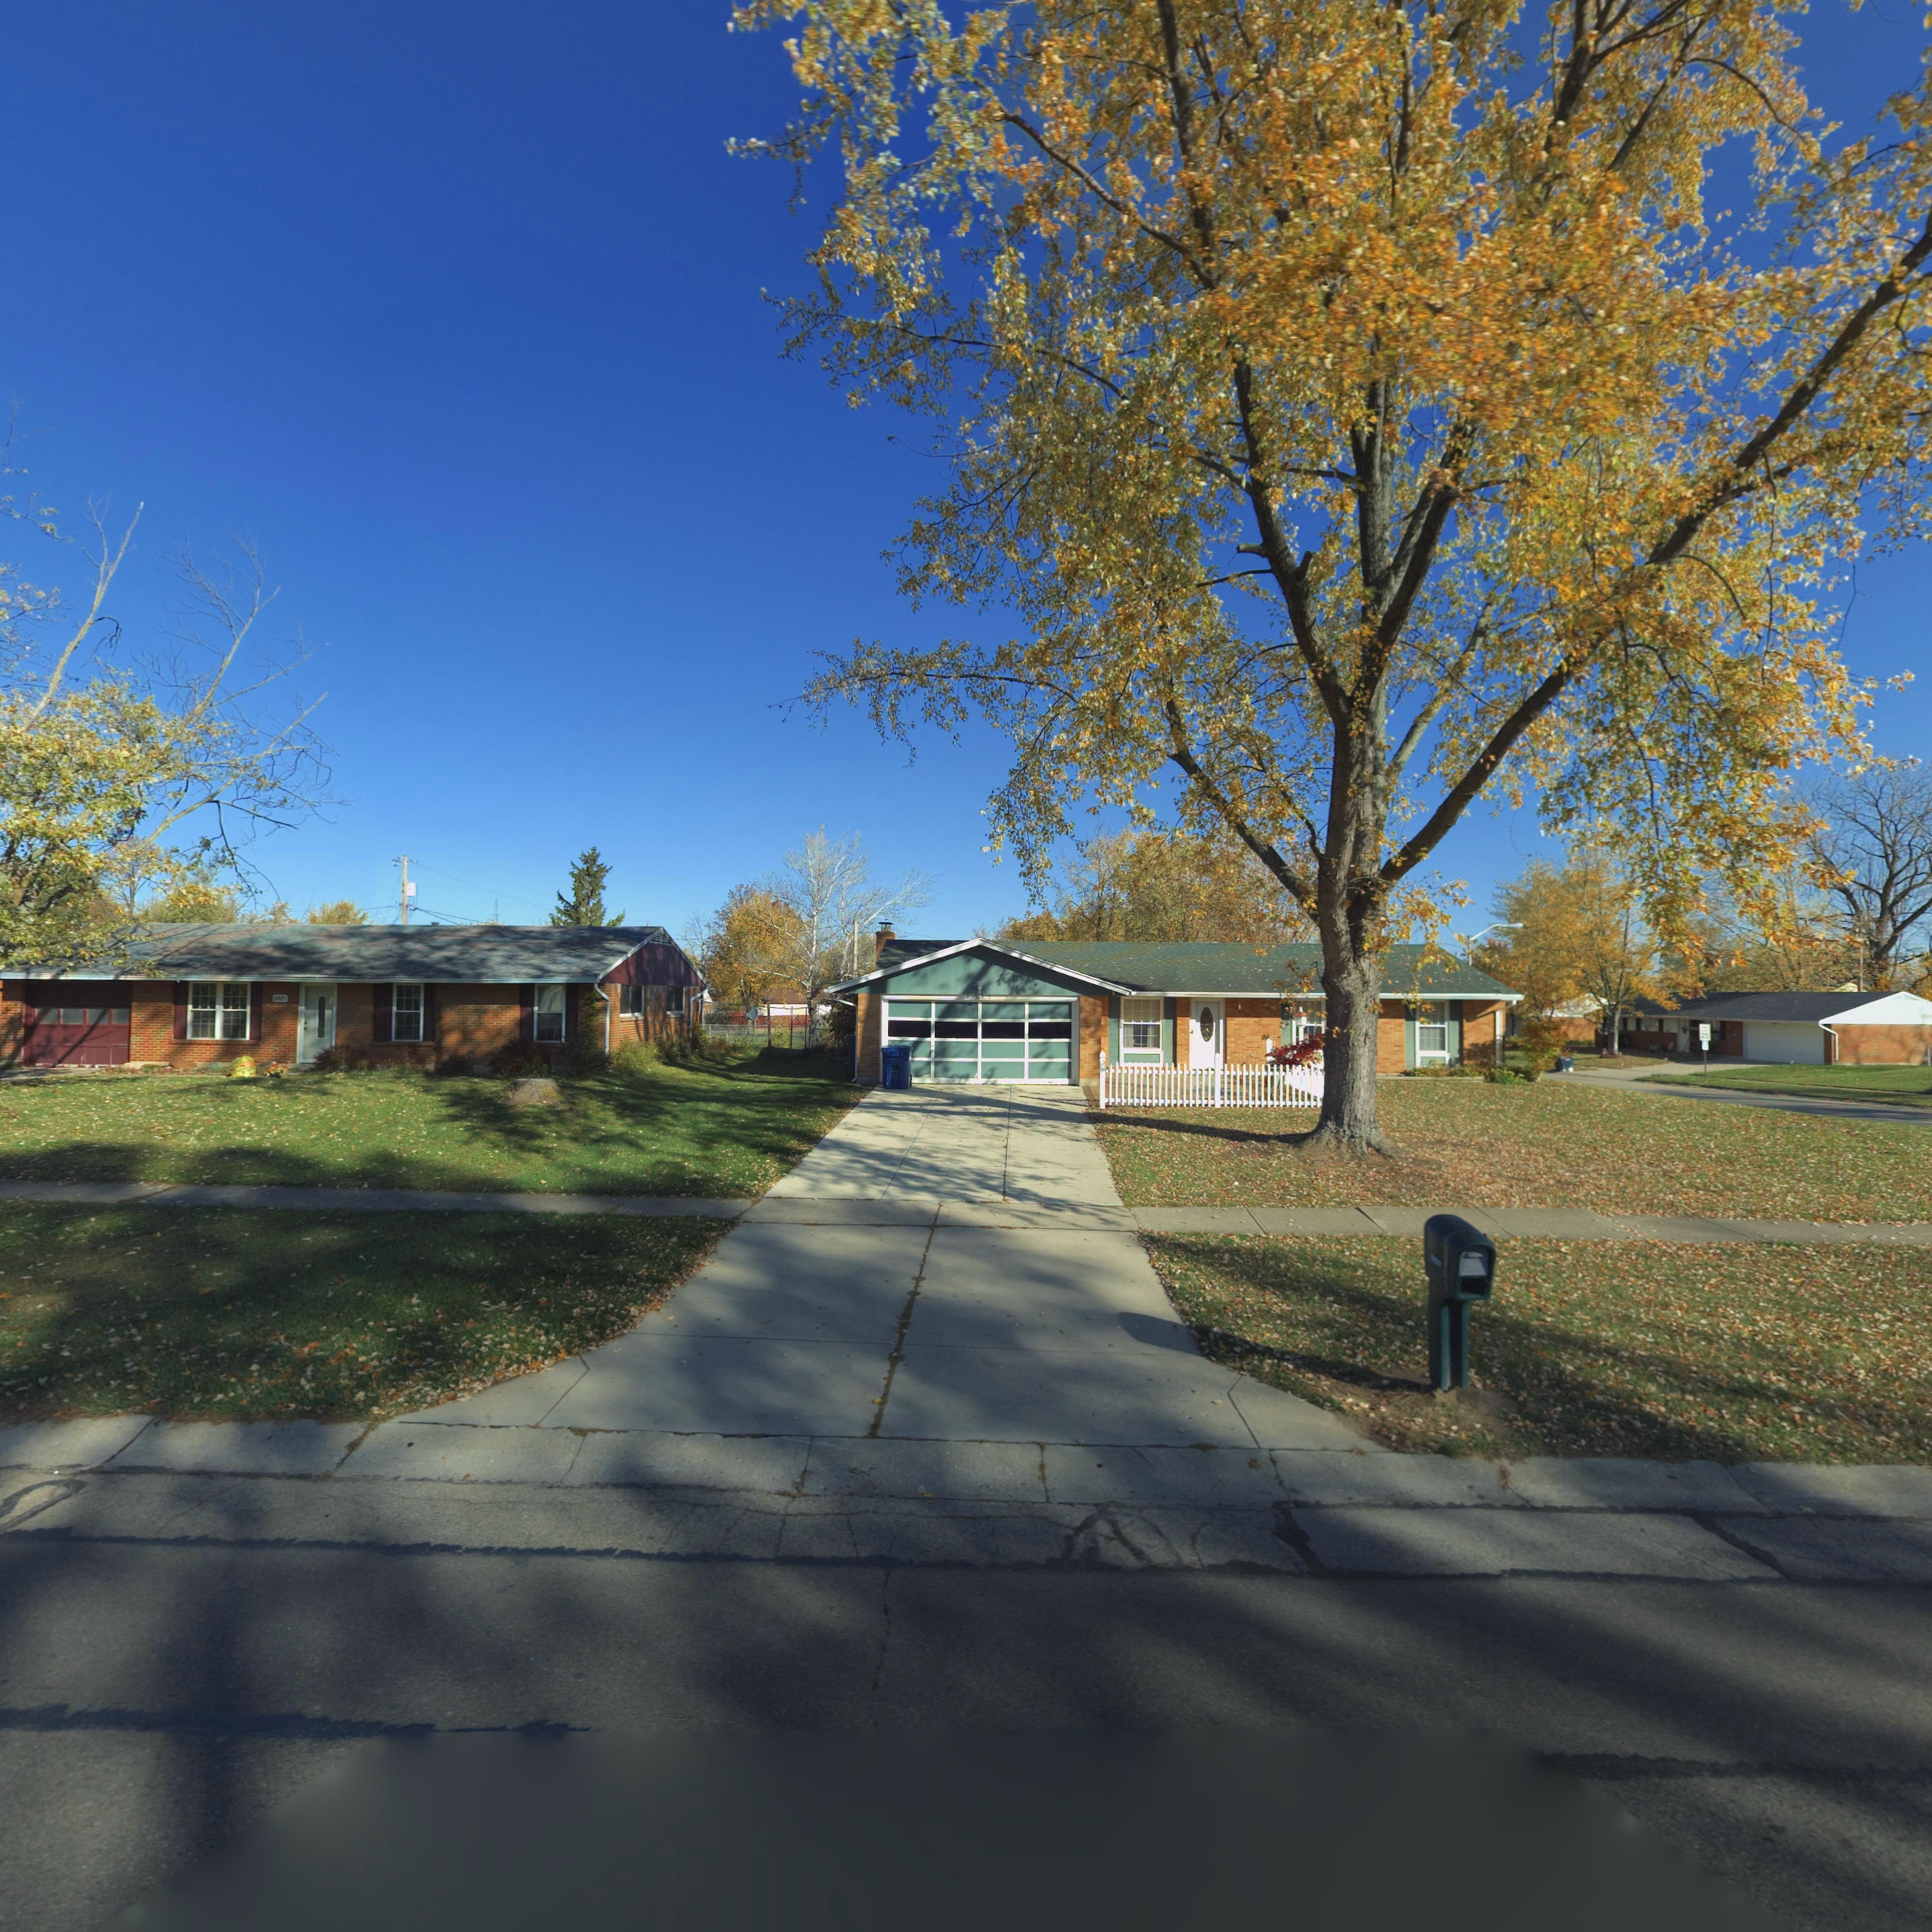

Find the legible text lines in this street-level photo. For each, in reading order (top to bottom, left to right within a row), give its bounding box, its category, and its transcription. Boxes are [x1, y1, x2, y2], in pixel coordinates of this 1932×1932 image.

[273, 995, 287, 1002] StreetNumber: 6*21
[966, 993, 991, 1000] StreetNumber: 6**1